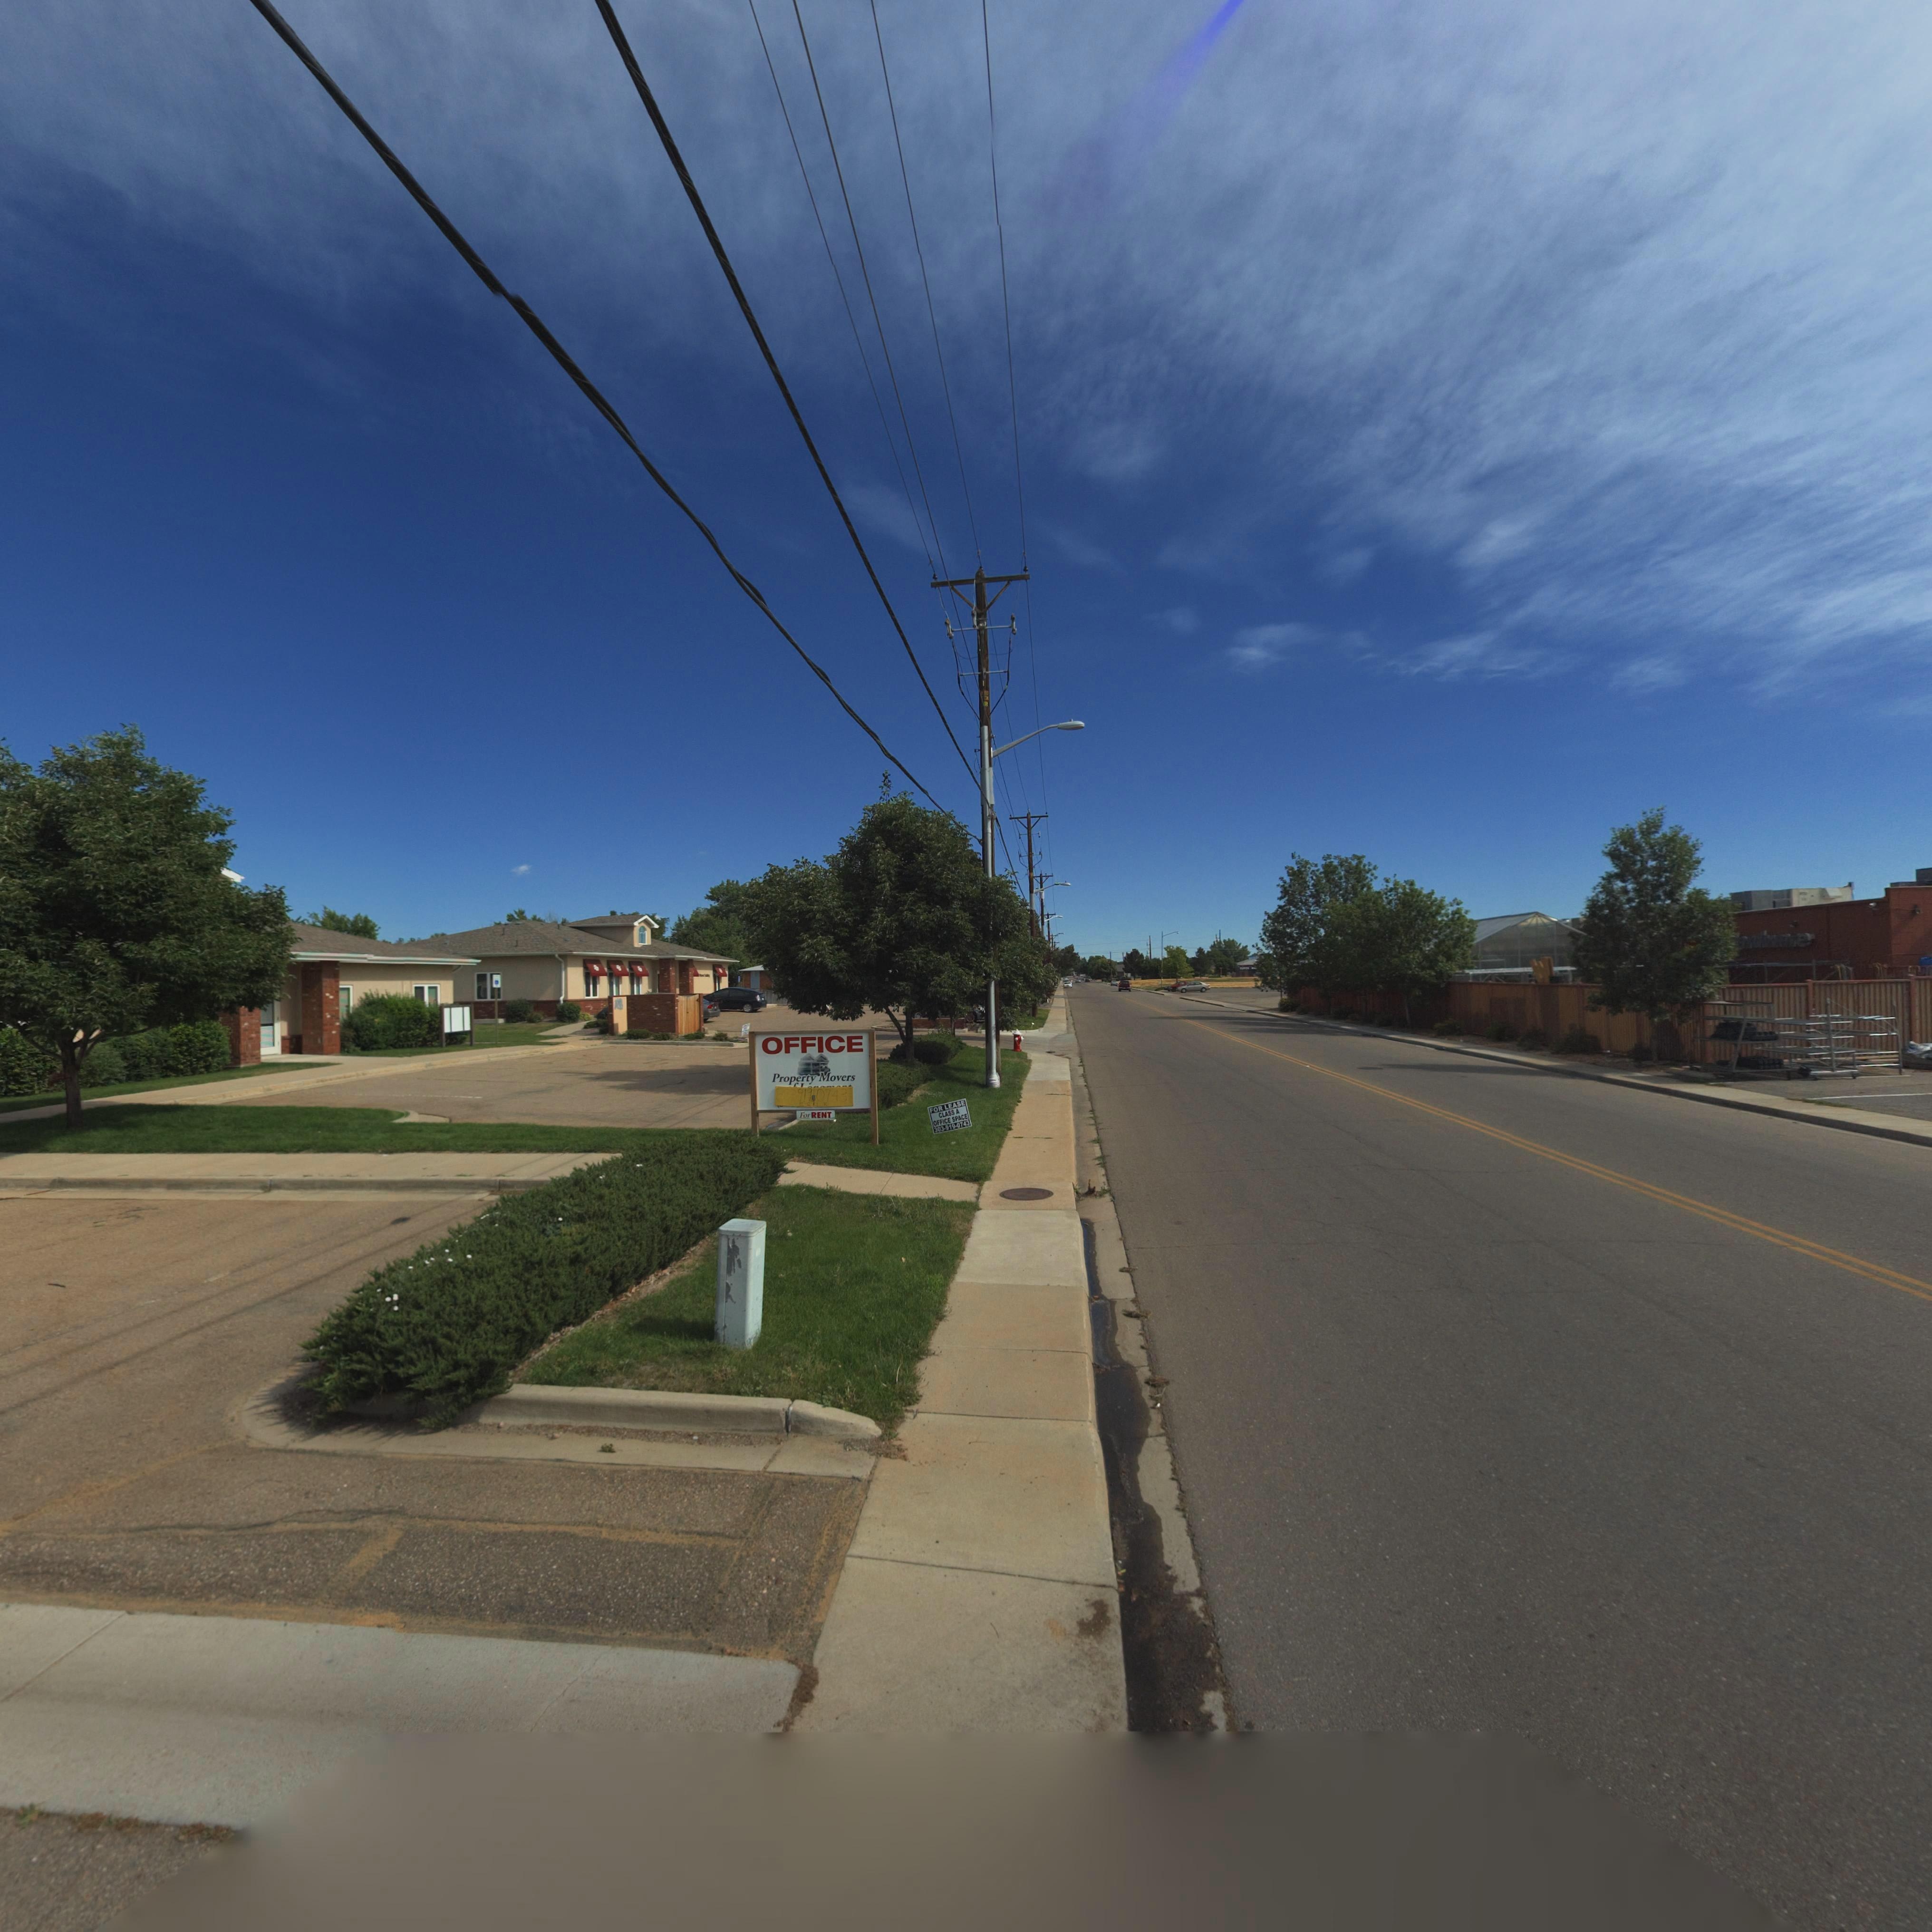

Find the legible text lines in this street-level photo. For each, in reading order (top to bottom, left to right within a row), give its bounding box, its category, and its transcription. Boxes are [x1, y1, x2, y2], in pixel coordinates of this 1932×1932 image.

[1735, 929, 1810, 951] BusinessName: ******e